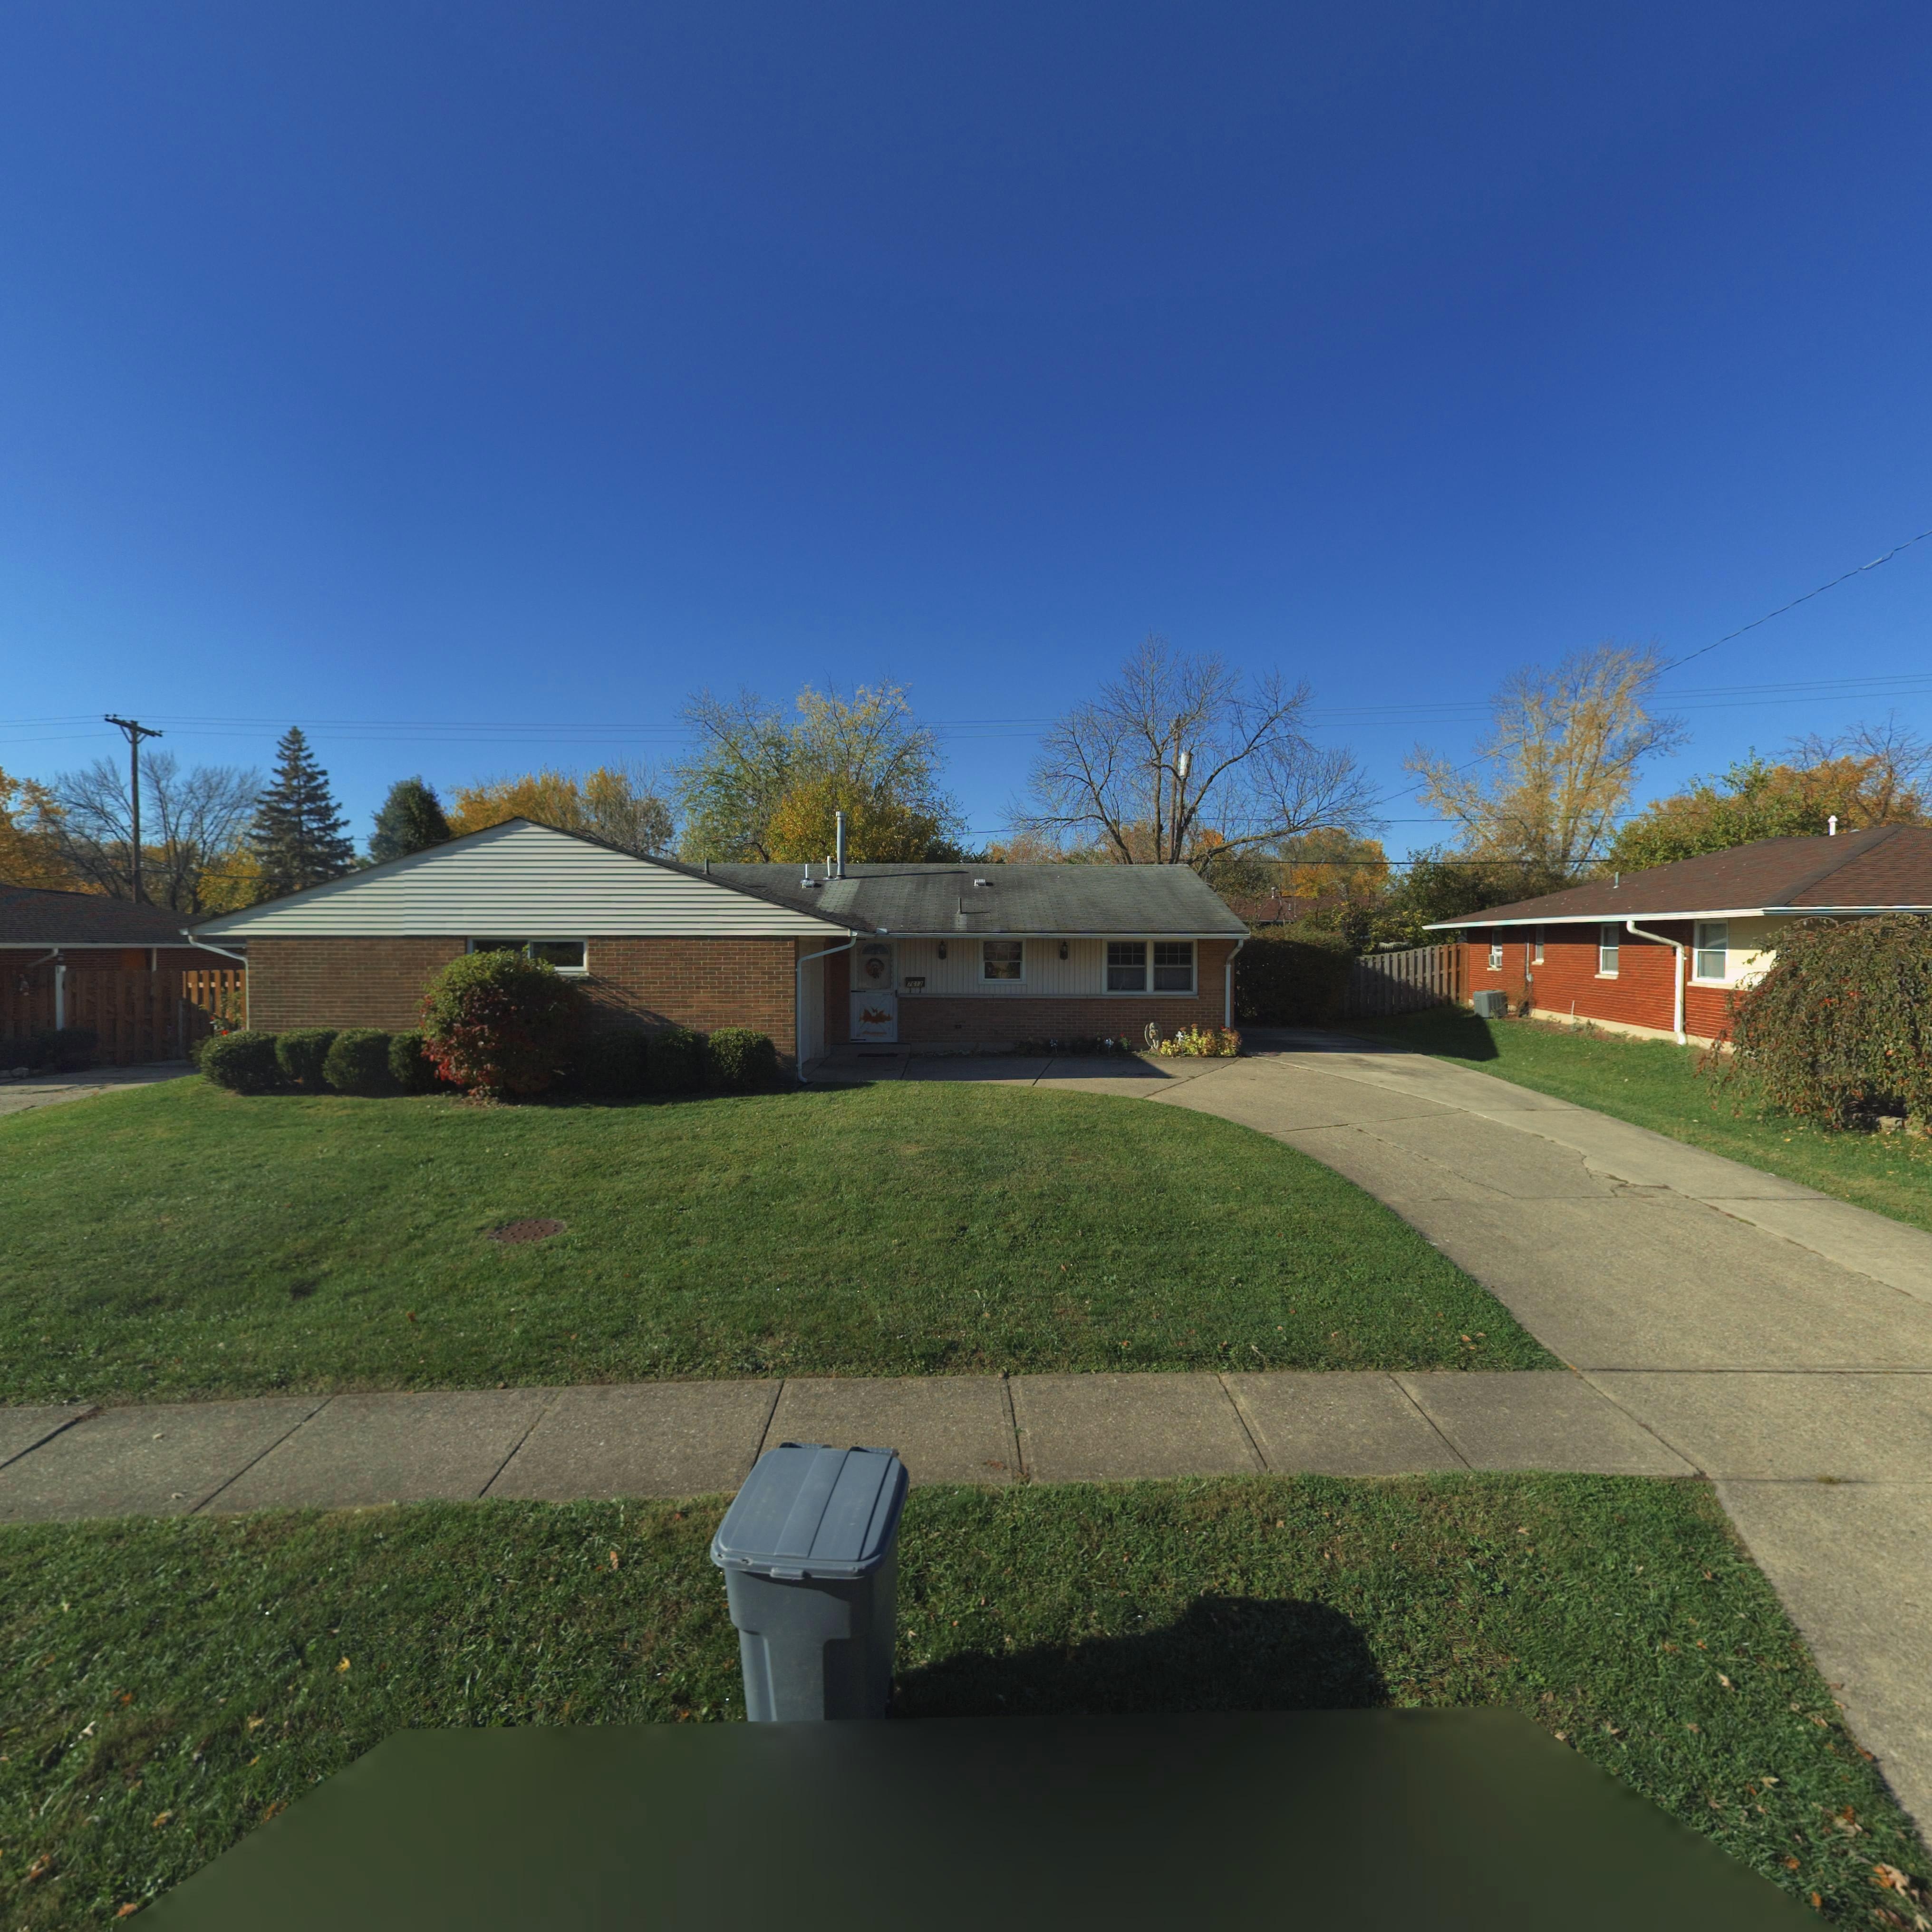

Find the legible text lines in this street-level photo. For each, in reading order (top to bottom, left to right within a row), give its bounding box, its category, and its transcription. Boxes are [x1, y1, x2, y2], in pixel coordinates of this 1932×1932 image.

[907, 981, 923, 986] StreetNumber: 7613